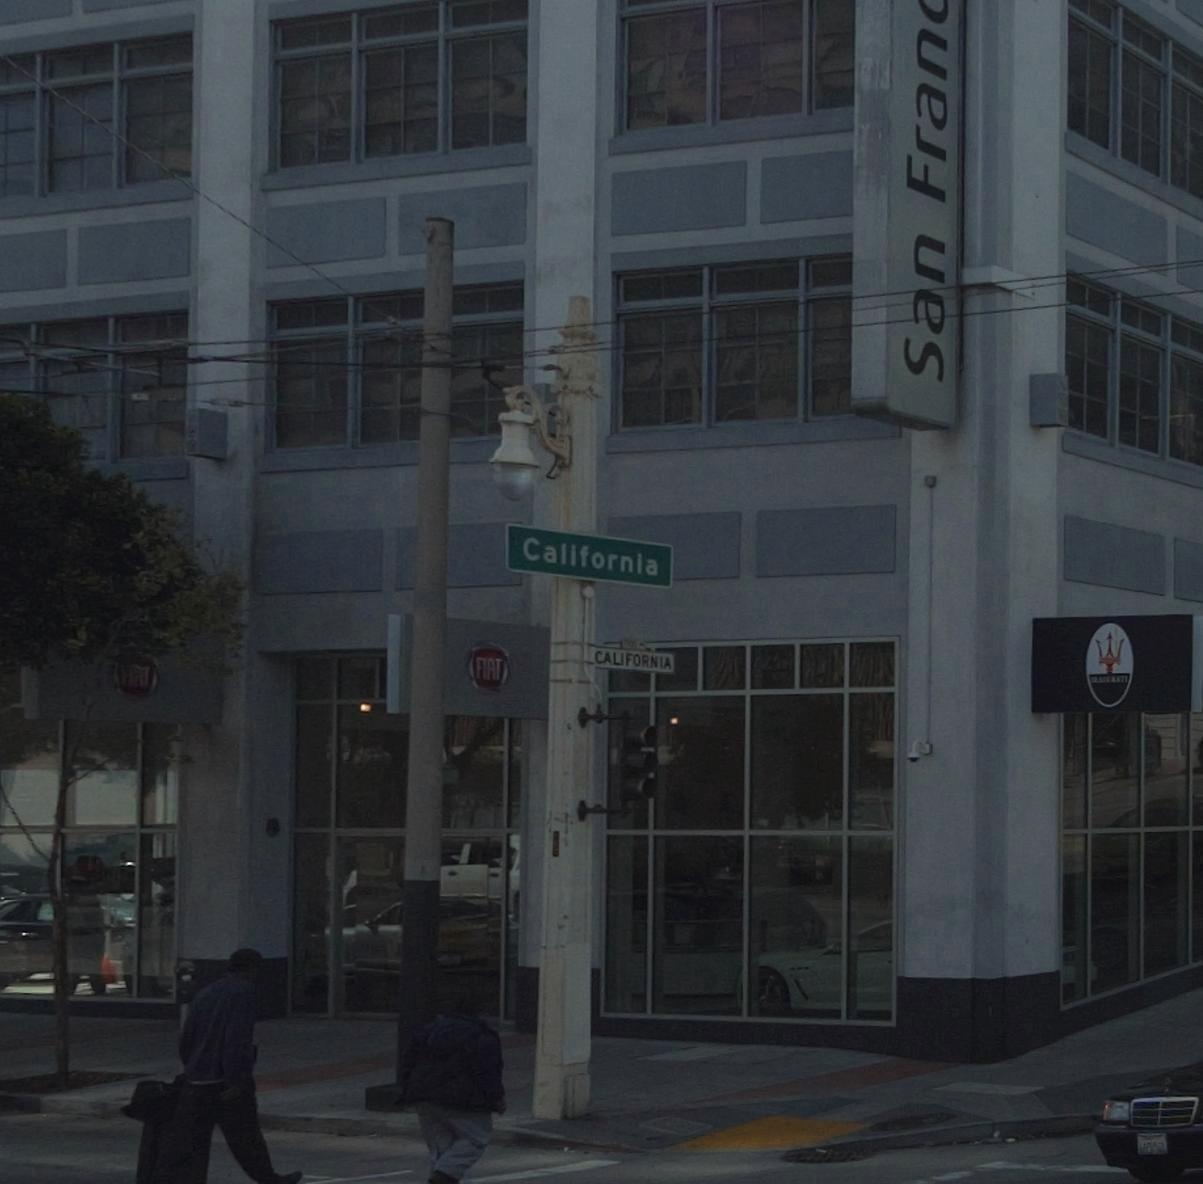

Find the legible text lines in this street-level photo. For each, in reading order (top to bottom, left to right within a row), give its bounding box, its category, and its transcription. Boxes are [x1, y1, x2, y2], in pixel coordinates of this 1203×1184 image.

[898, 23, 956, 391] BusinessName: San Fran
[520, 533, 661, 579] StreetName: California
[474, 654, 504, 682] BusinessName: FIAT
[593, 647, 674, 672] StreetName: CALIFORNIA